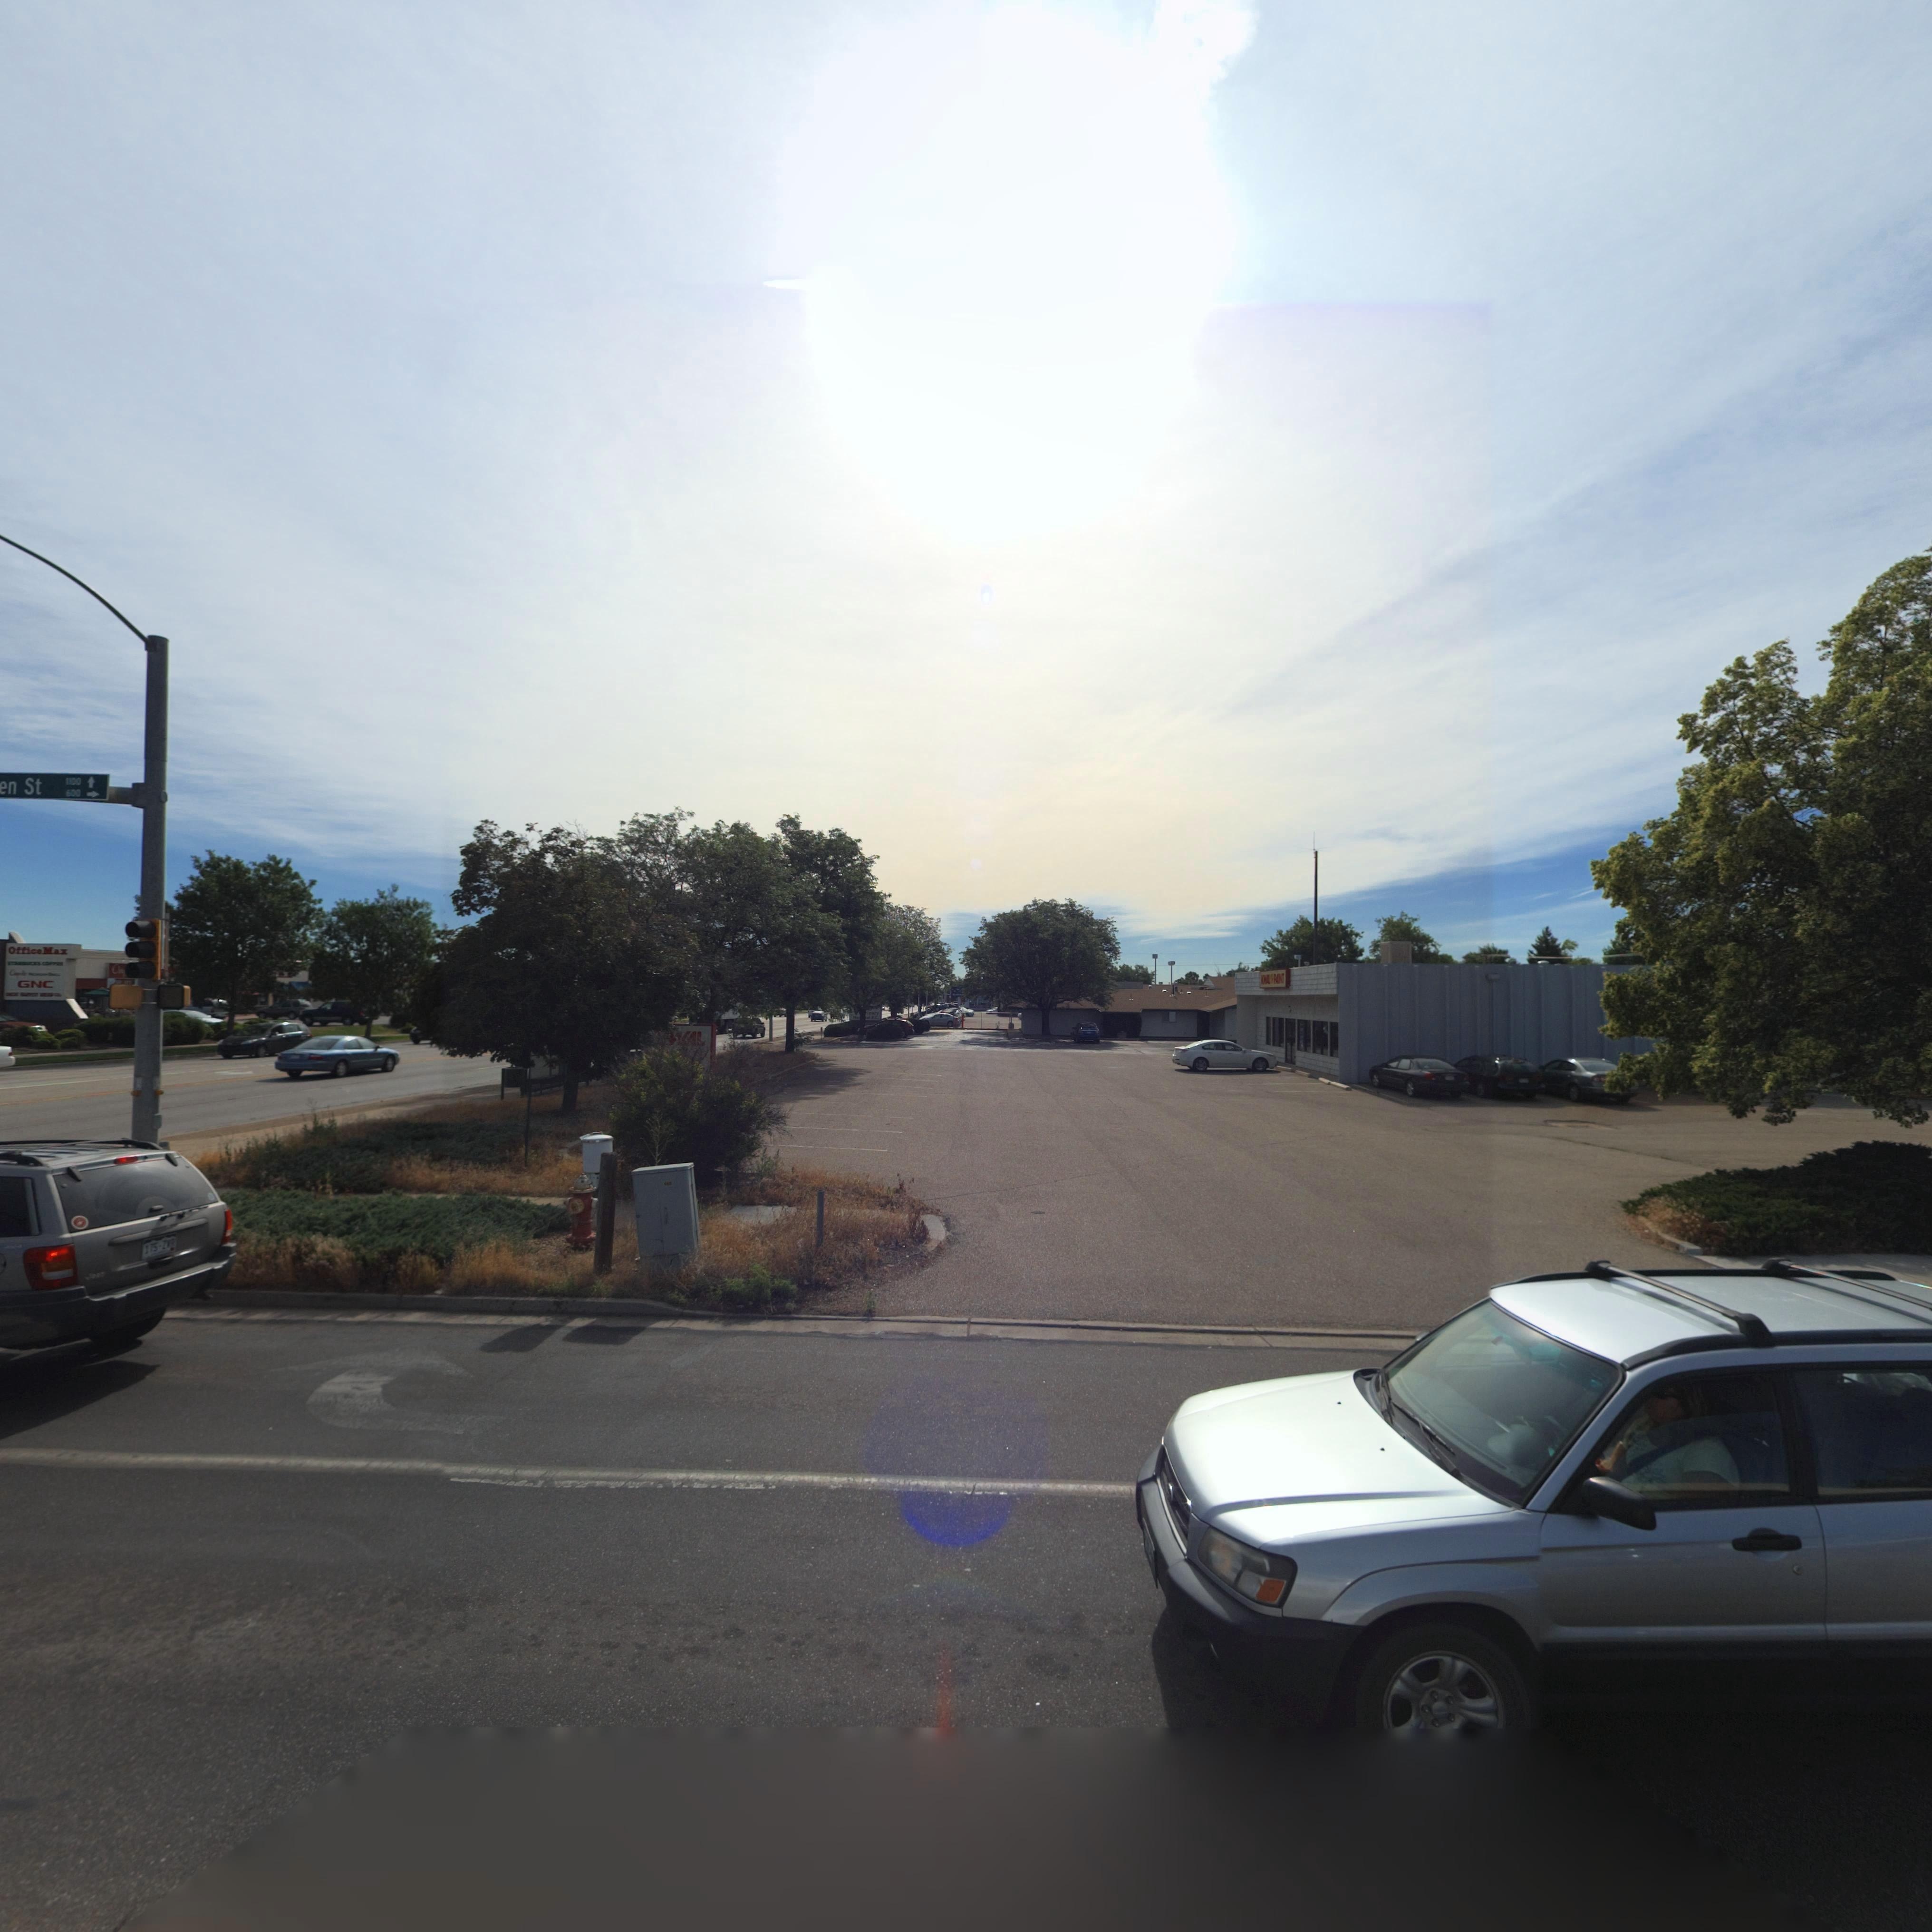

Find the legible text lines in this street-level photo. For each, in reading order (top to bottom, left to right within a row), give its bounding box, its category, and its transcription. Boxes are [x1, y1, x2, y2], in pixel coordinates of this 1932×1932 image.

[6, 776, 42, 795] StreetName: n St
[65, 777, 82, 786] StreetNumberRange: 1*00
[66, 788, 100, 798] StreetNumberRange: 600->
[8, 946, 68, 955] BusinessName: OfficeMax
[7, 960, 64, 966] BusinessName: ********S CO**EE
[9, 968, 61, 979] BusinessName: C*****le MEX*C** G****
[111, 963, 126, 977] BusinessName: Ch**
[1260, 972, 1285, 985] BusinessName: K****PA*N*
[17, 980, 54, 989] BusinessName: GNC
[668, 1030, 705, 1046] BusinessName: WAL